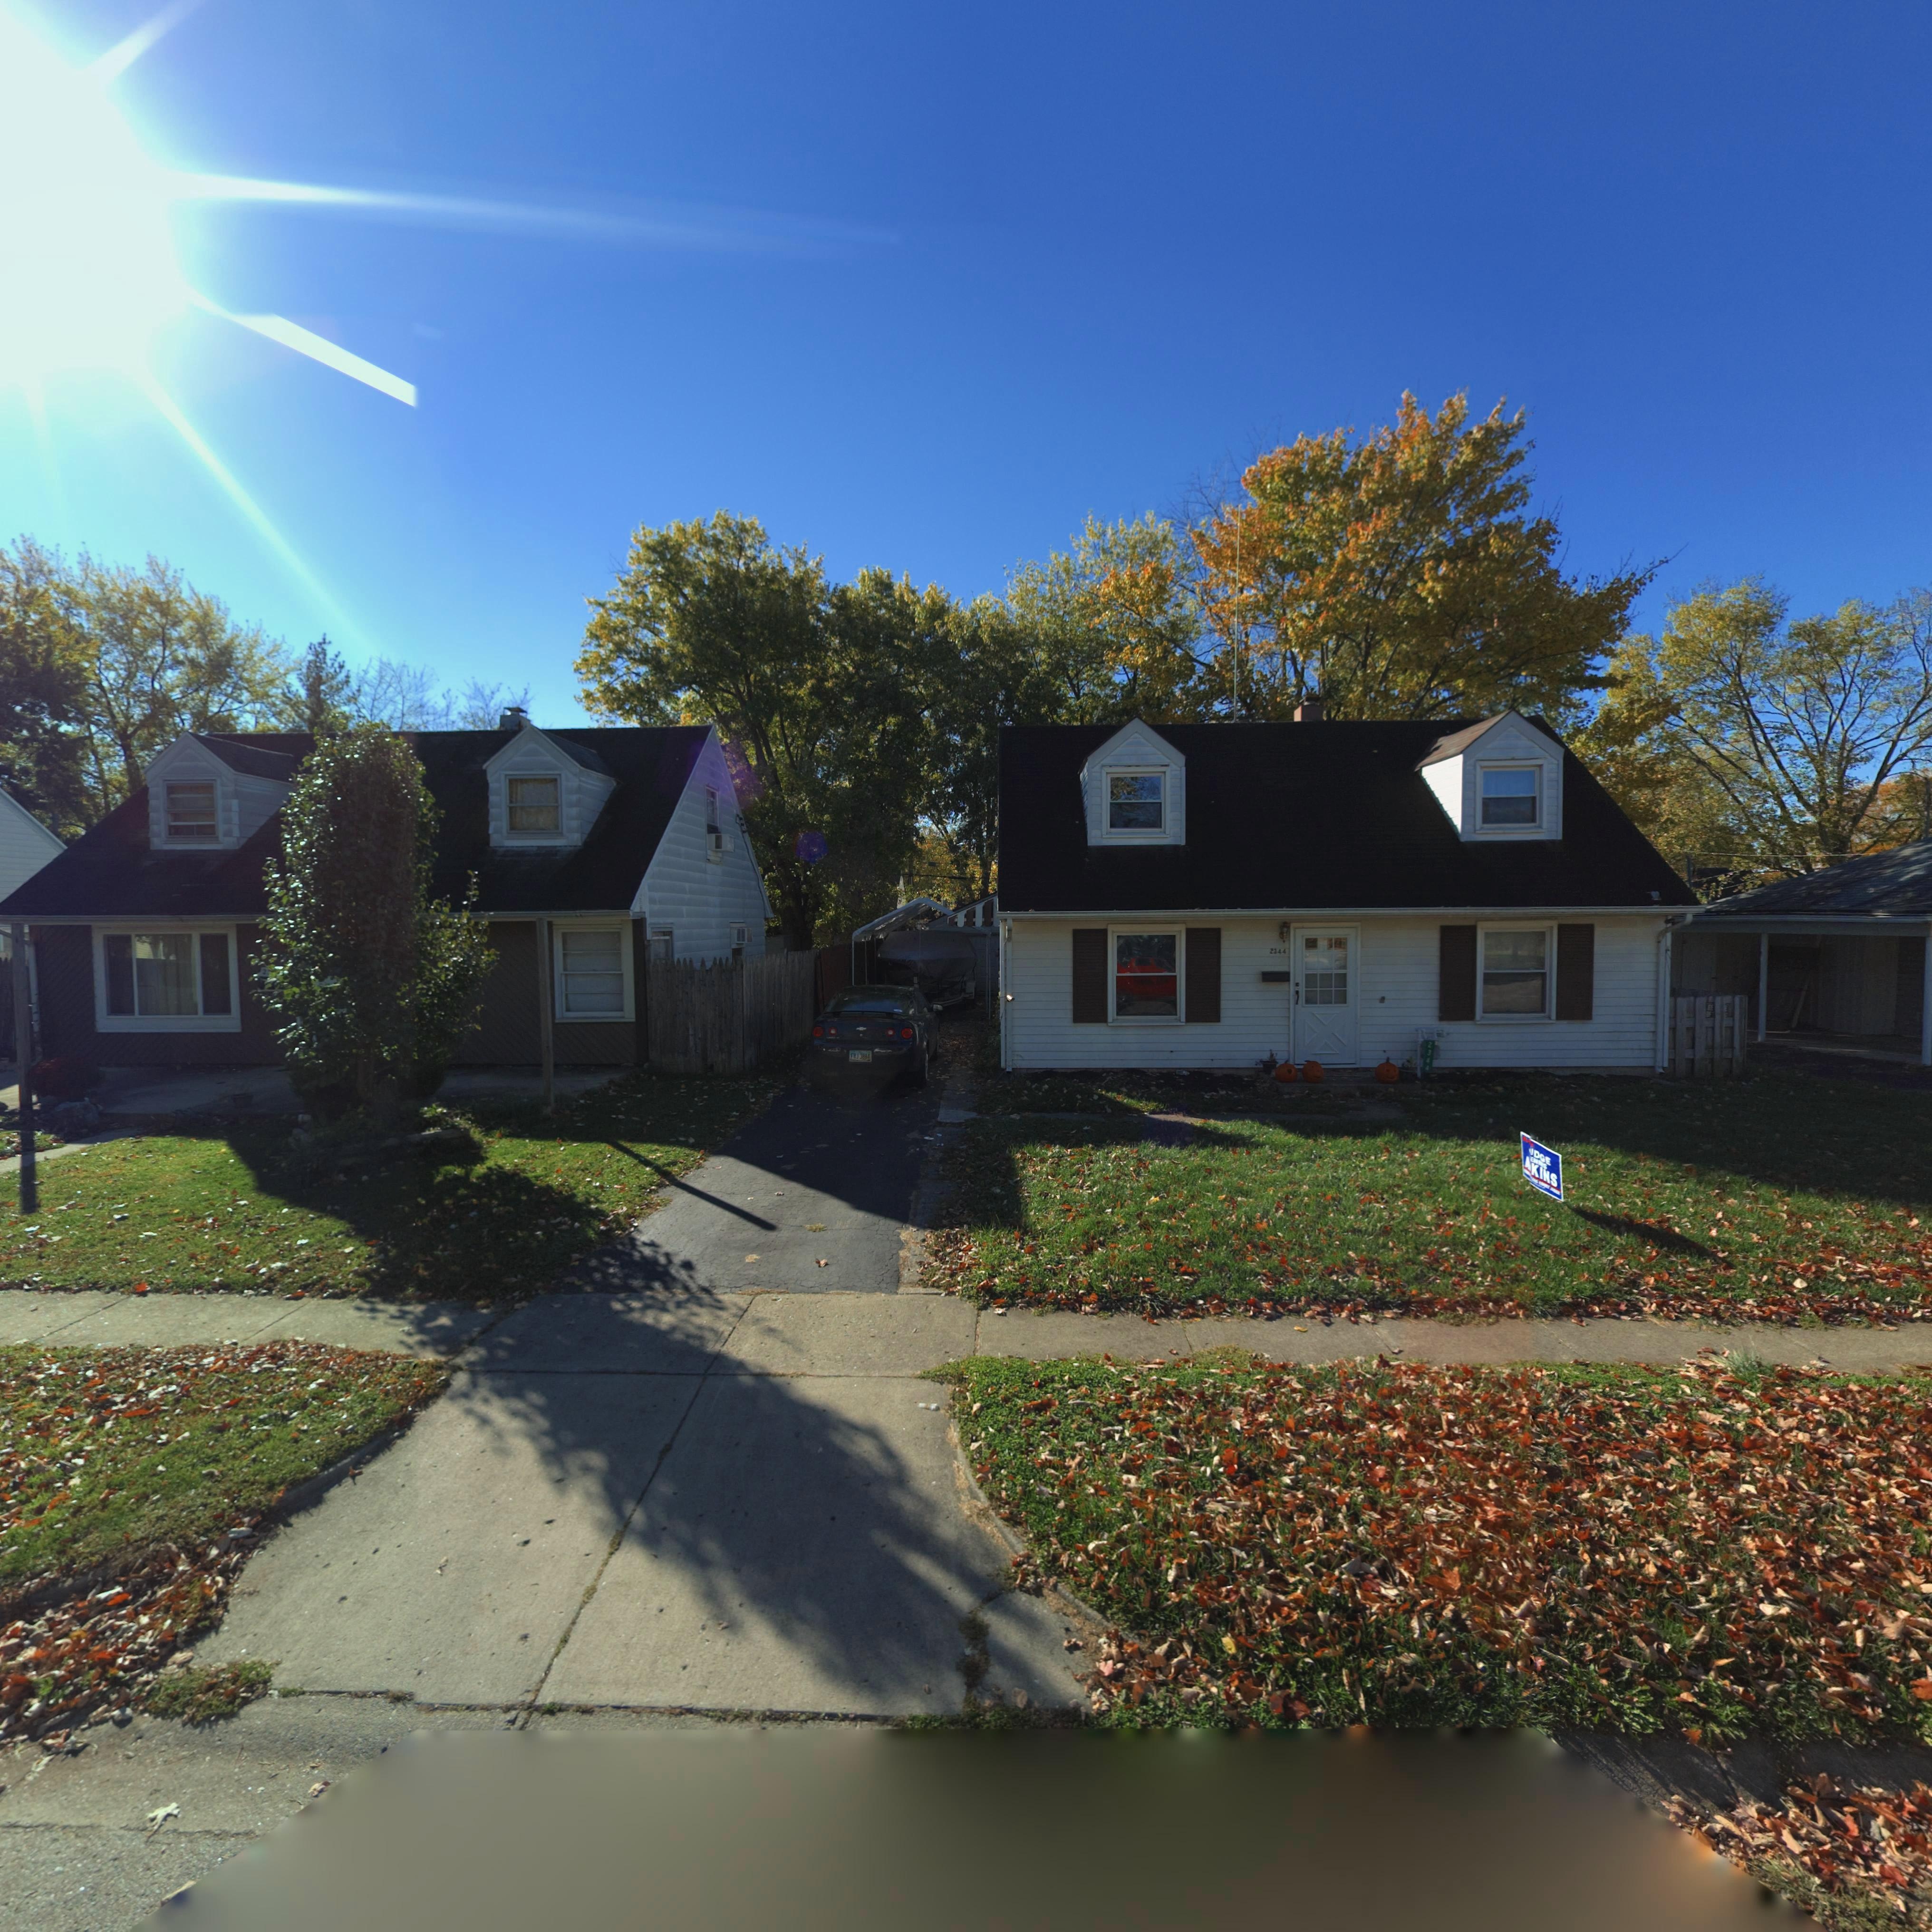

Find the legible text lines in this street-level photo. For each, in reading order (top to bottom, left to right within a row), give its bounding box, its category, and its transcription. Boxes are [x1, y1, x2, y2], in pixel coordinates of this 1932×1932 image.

[1269, 947, 1288, 956] StreetNumber: 2*44
[1424, 1041, 1433, 1072] StreetNumber: 23**